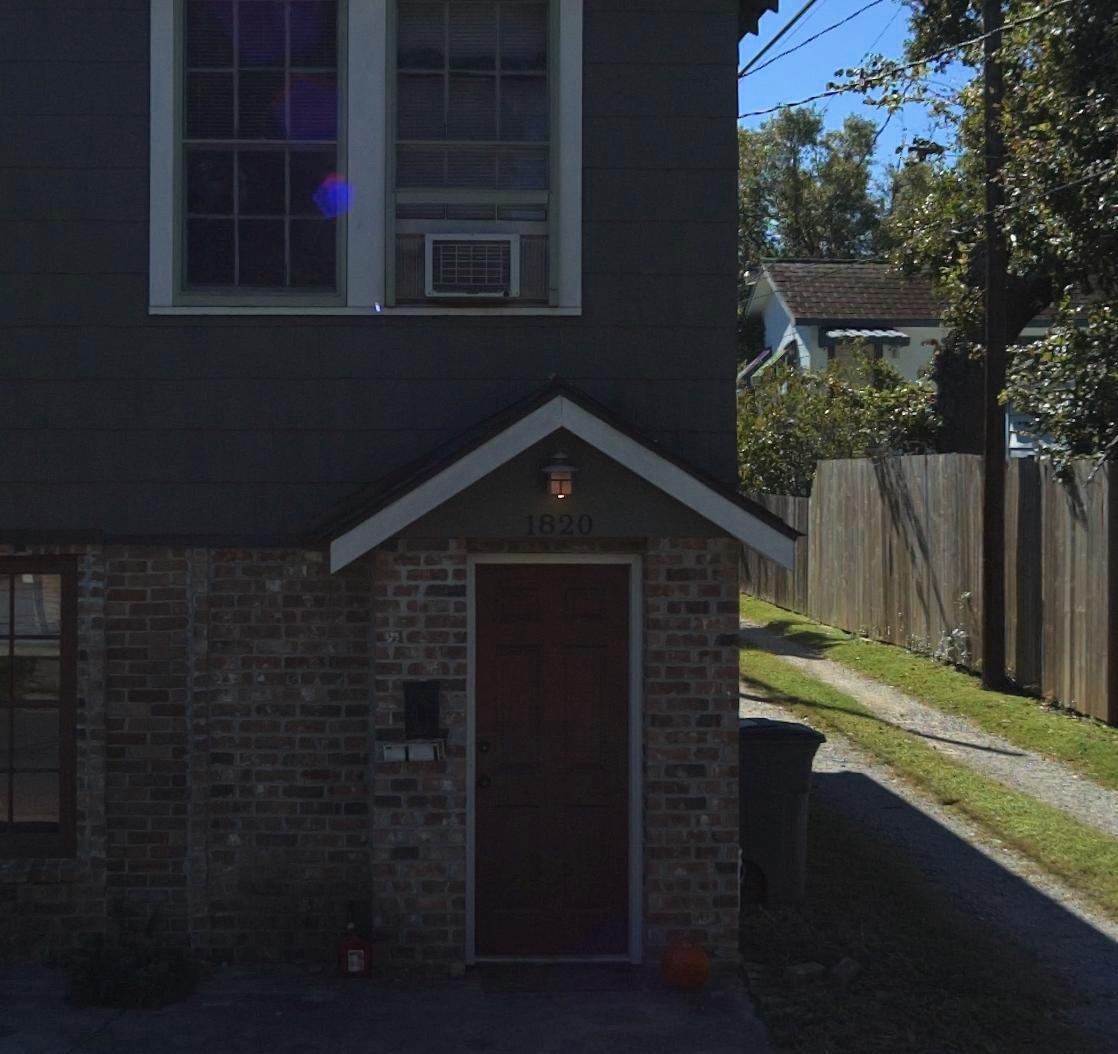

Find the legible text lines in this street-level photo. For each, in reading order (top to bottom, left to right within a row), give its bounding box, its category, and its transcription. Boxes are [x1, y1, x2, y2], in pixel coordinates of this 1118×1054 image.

[525, 512, 594, 537] StreetNumber: 1820